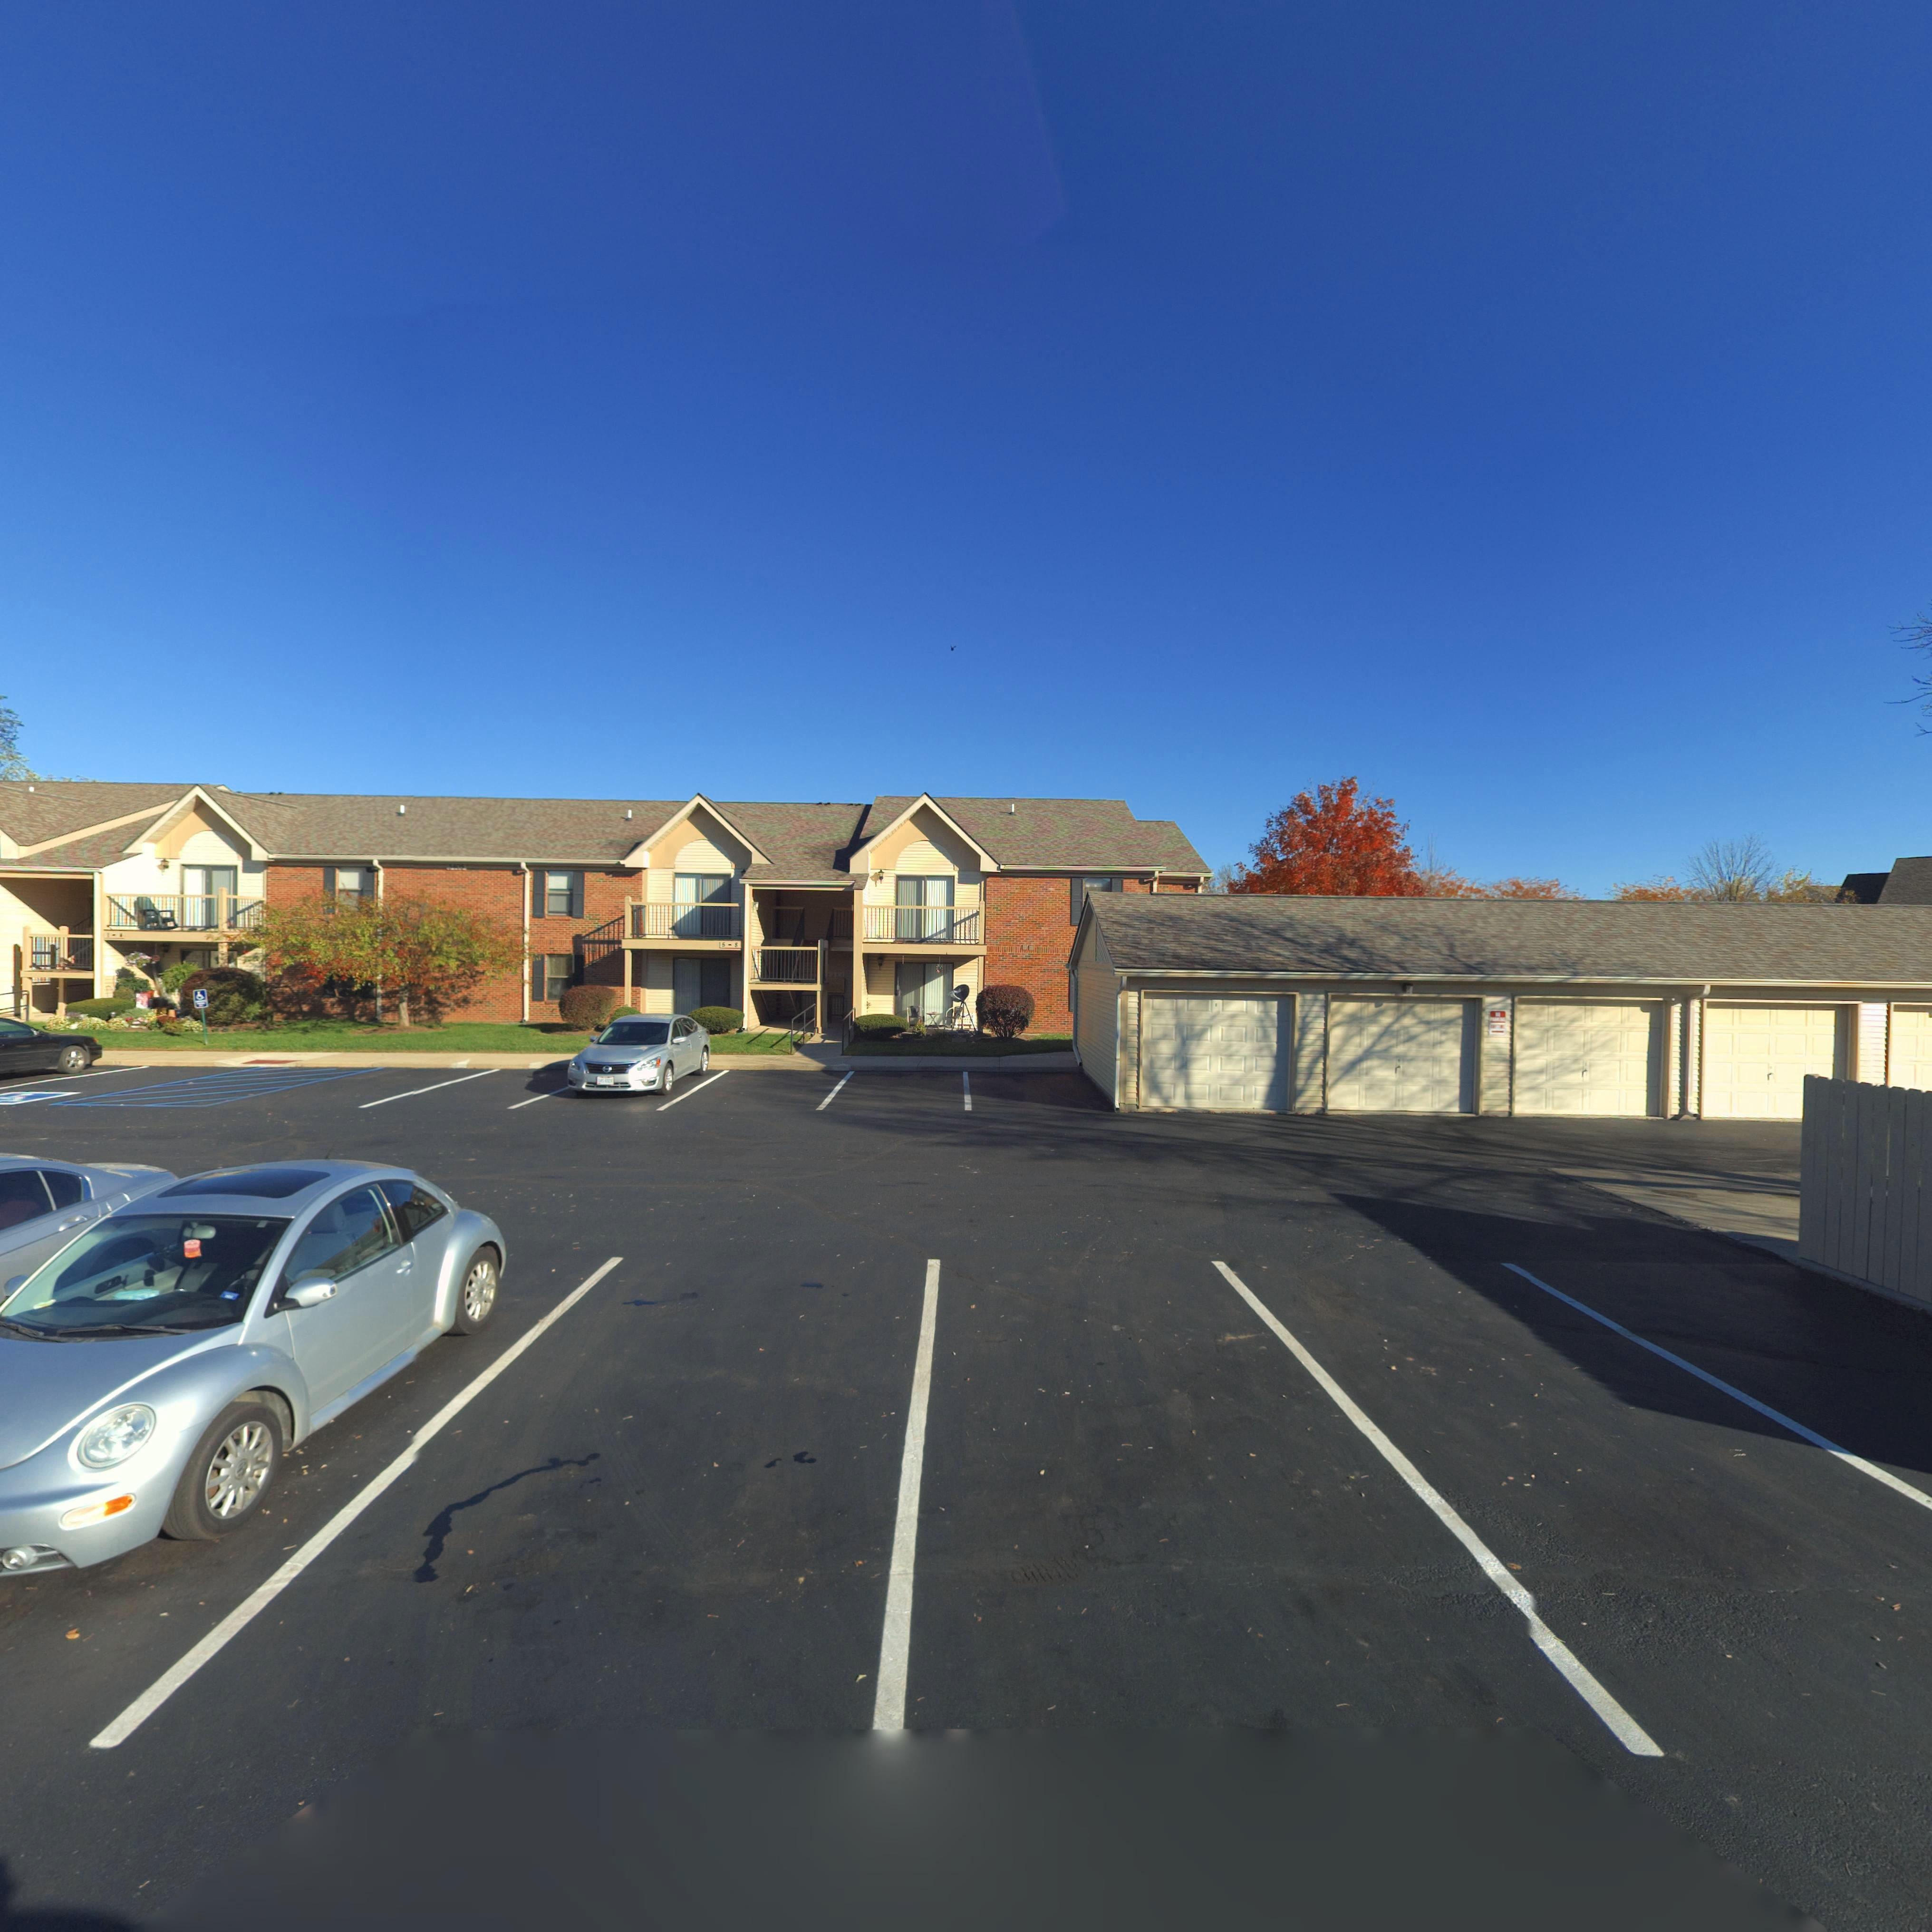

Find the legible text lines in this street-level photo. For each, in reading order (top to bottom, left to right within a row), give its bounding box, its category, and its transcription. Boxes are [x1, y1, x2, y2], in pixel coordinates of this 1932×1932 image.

[721, 941, 739, 948] StreetNumber: 5-8